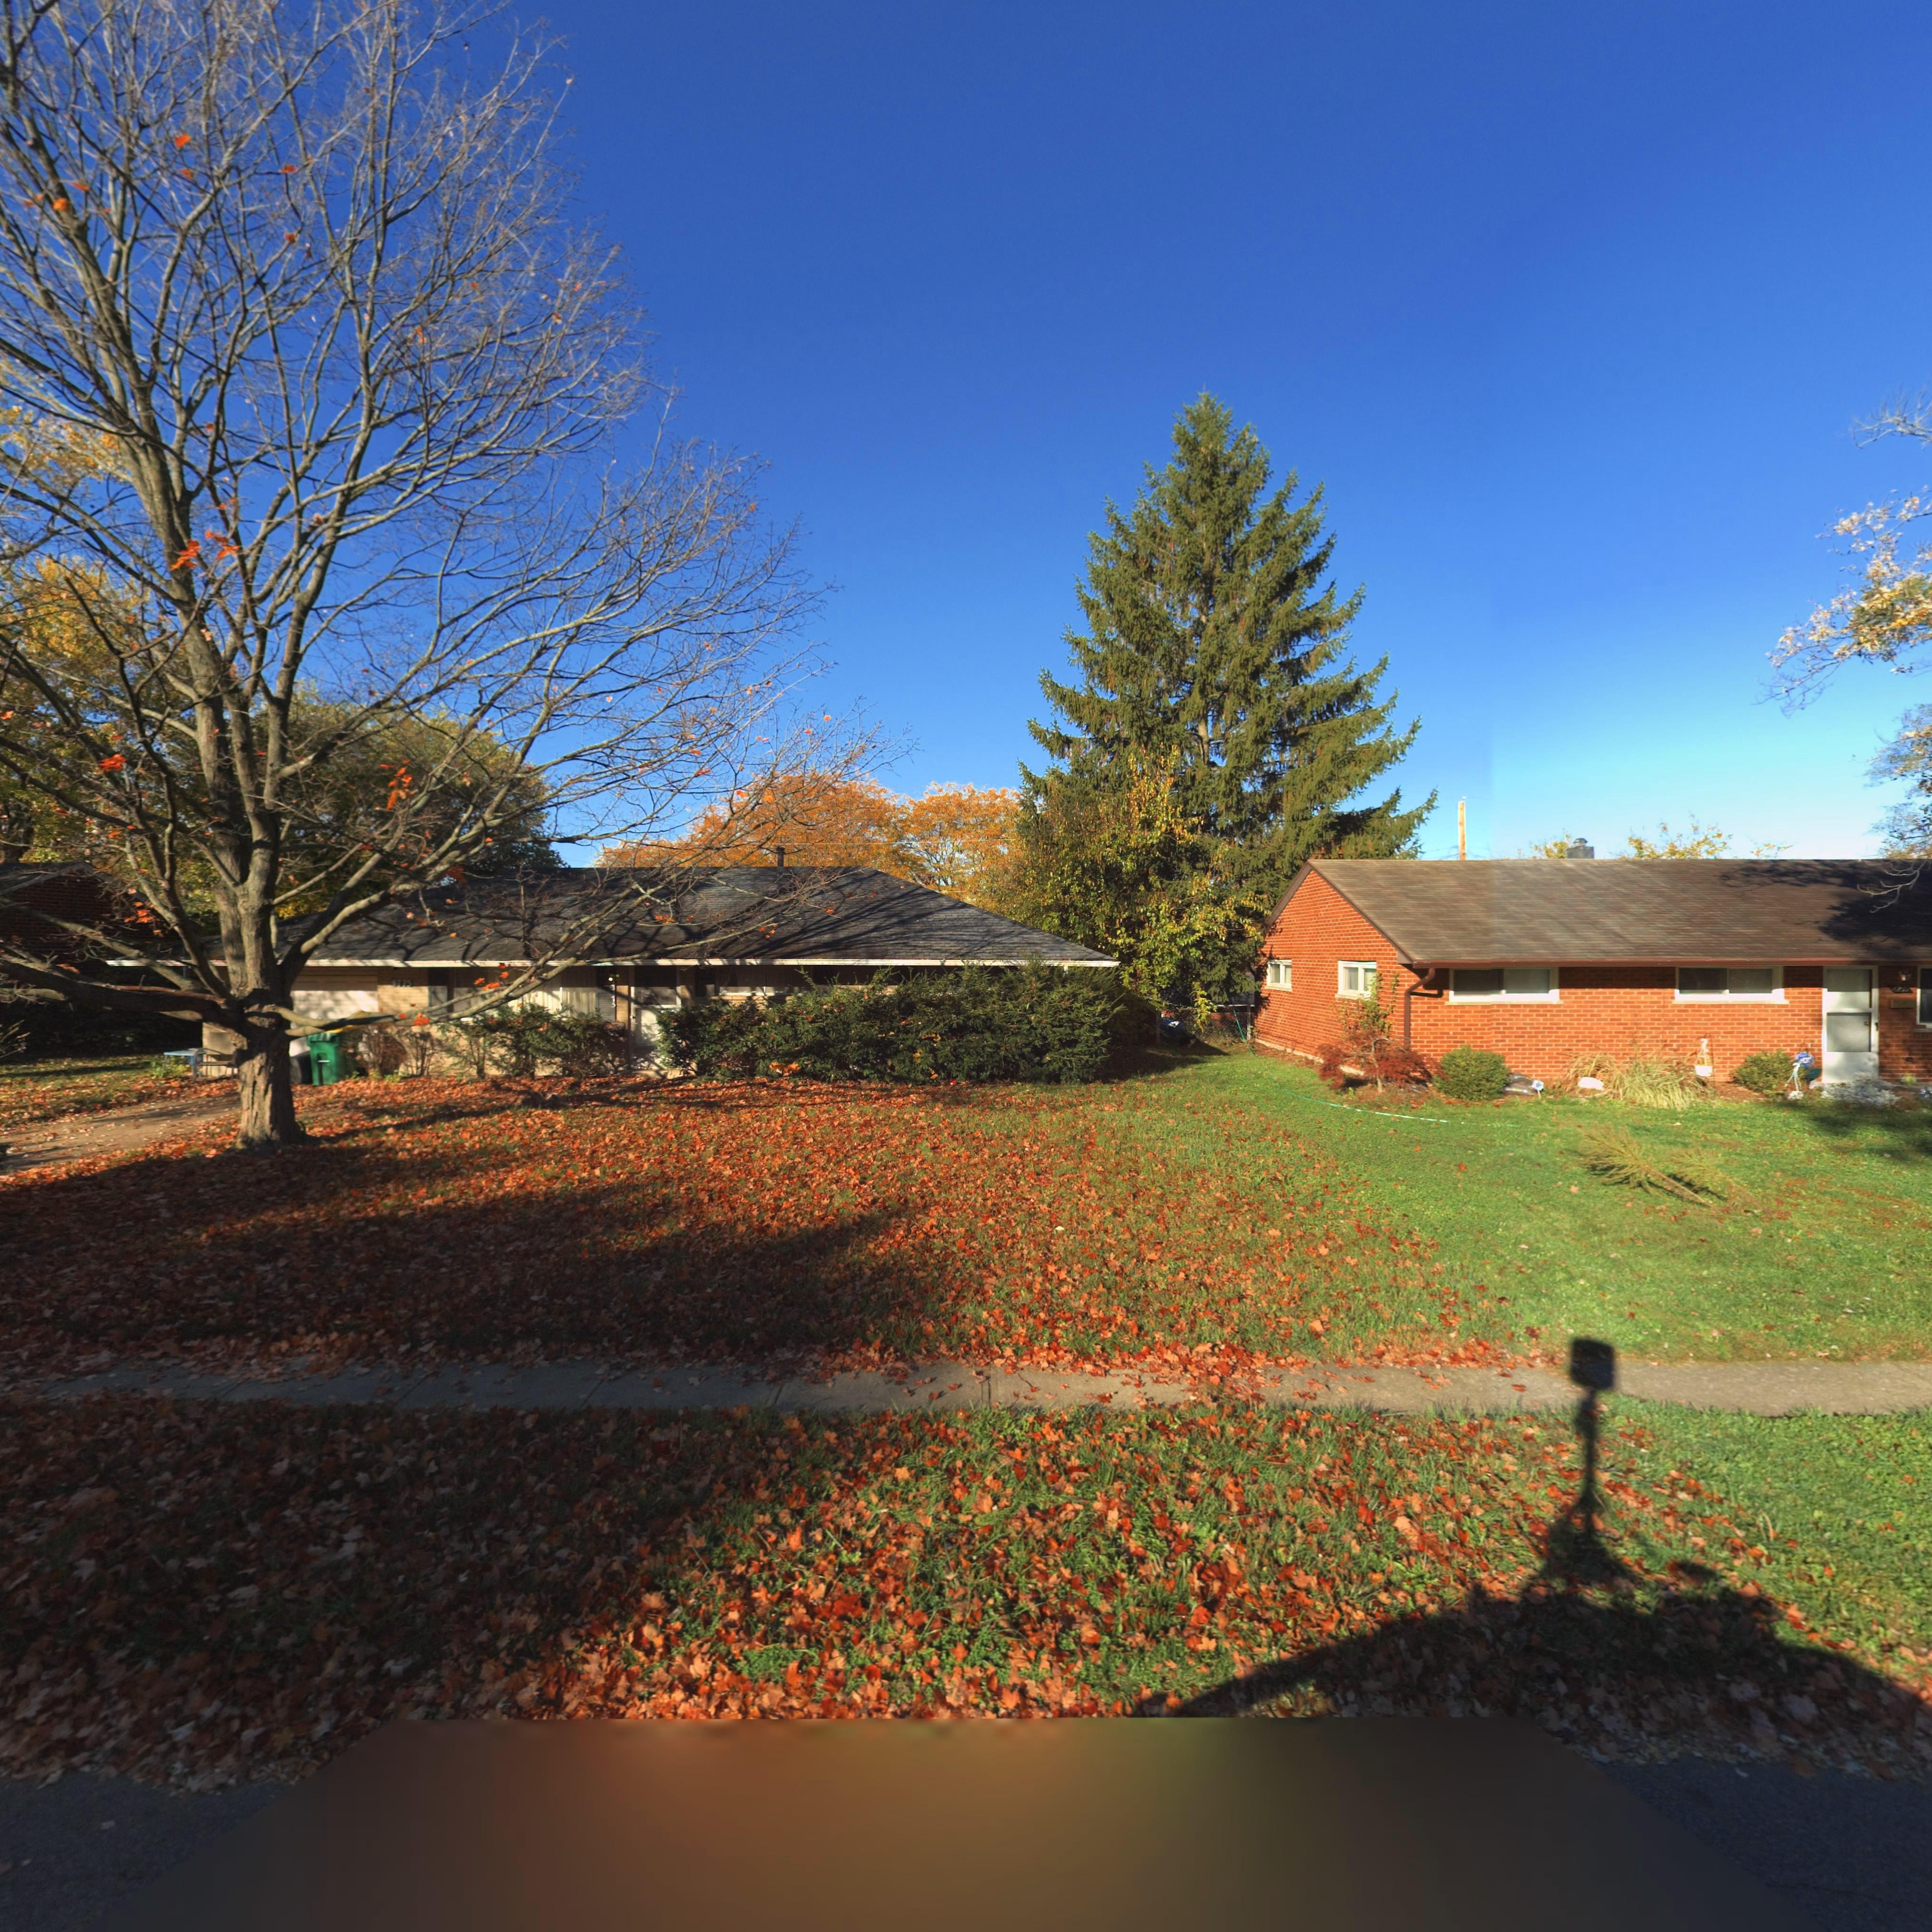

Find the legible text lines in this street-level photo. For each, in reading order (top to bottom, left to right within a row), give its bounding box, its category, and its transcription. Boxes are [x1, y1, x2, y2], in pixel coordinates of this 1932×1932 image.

[390, 979, 412, 987] StreetNumber: 4775